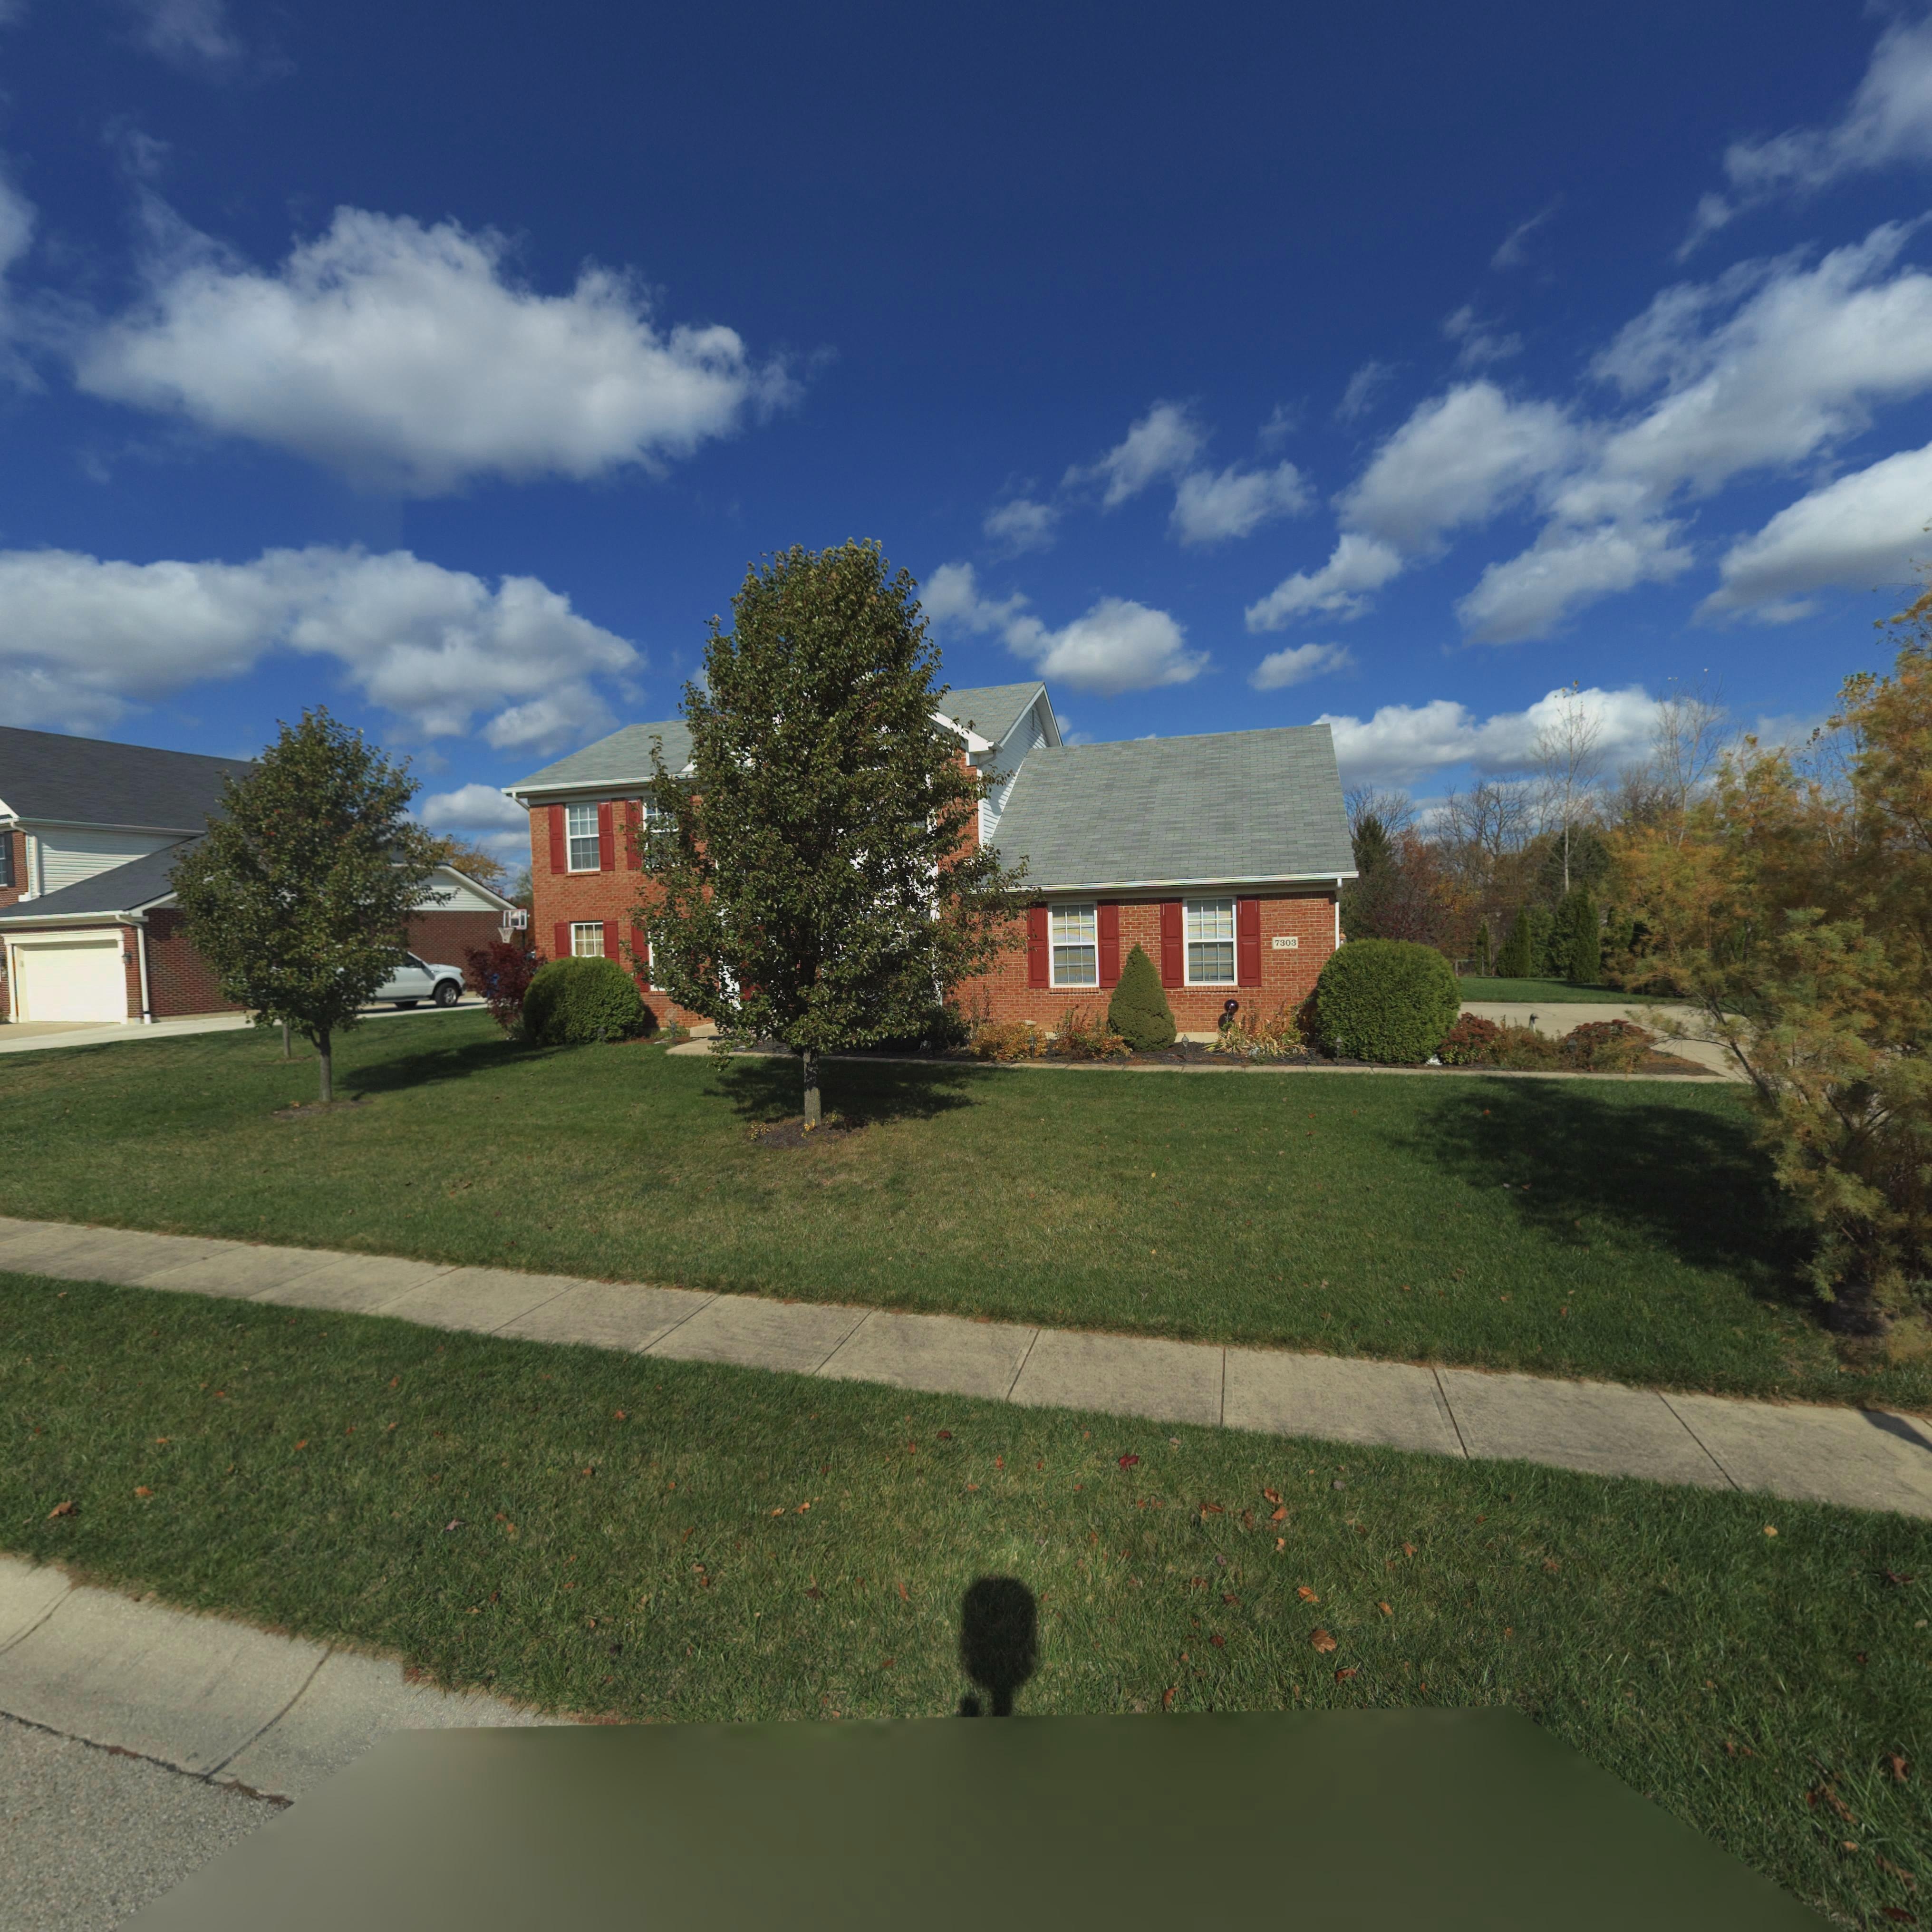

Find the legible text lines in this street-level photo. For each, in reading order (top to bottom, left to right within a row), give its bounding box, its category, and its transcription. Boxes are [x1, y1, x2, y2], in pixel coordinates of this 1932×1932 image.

[1274, 939, 1297, 947] StreetNumber: 7303